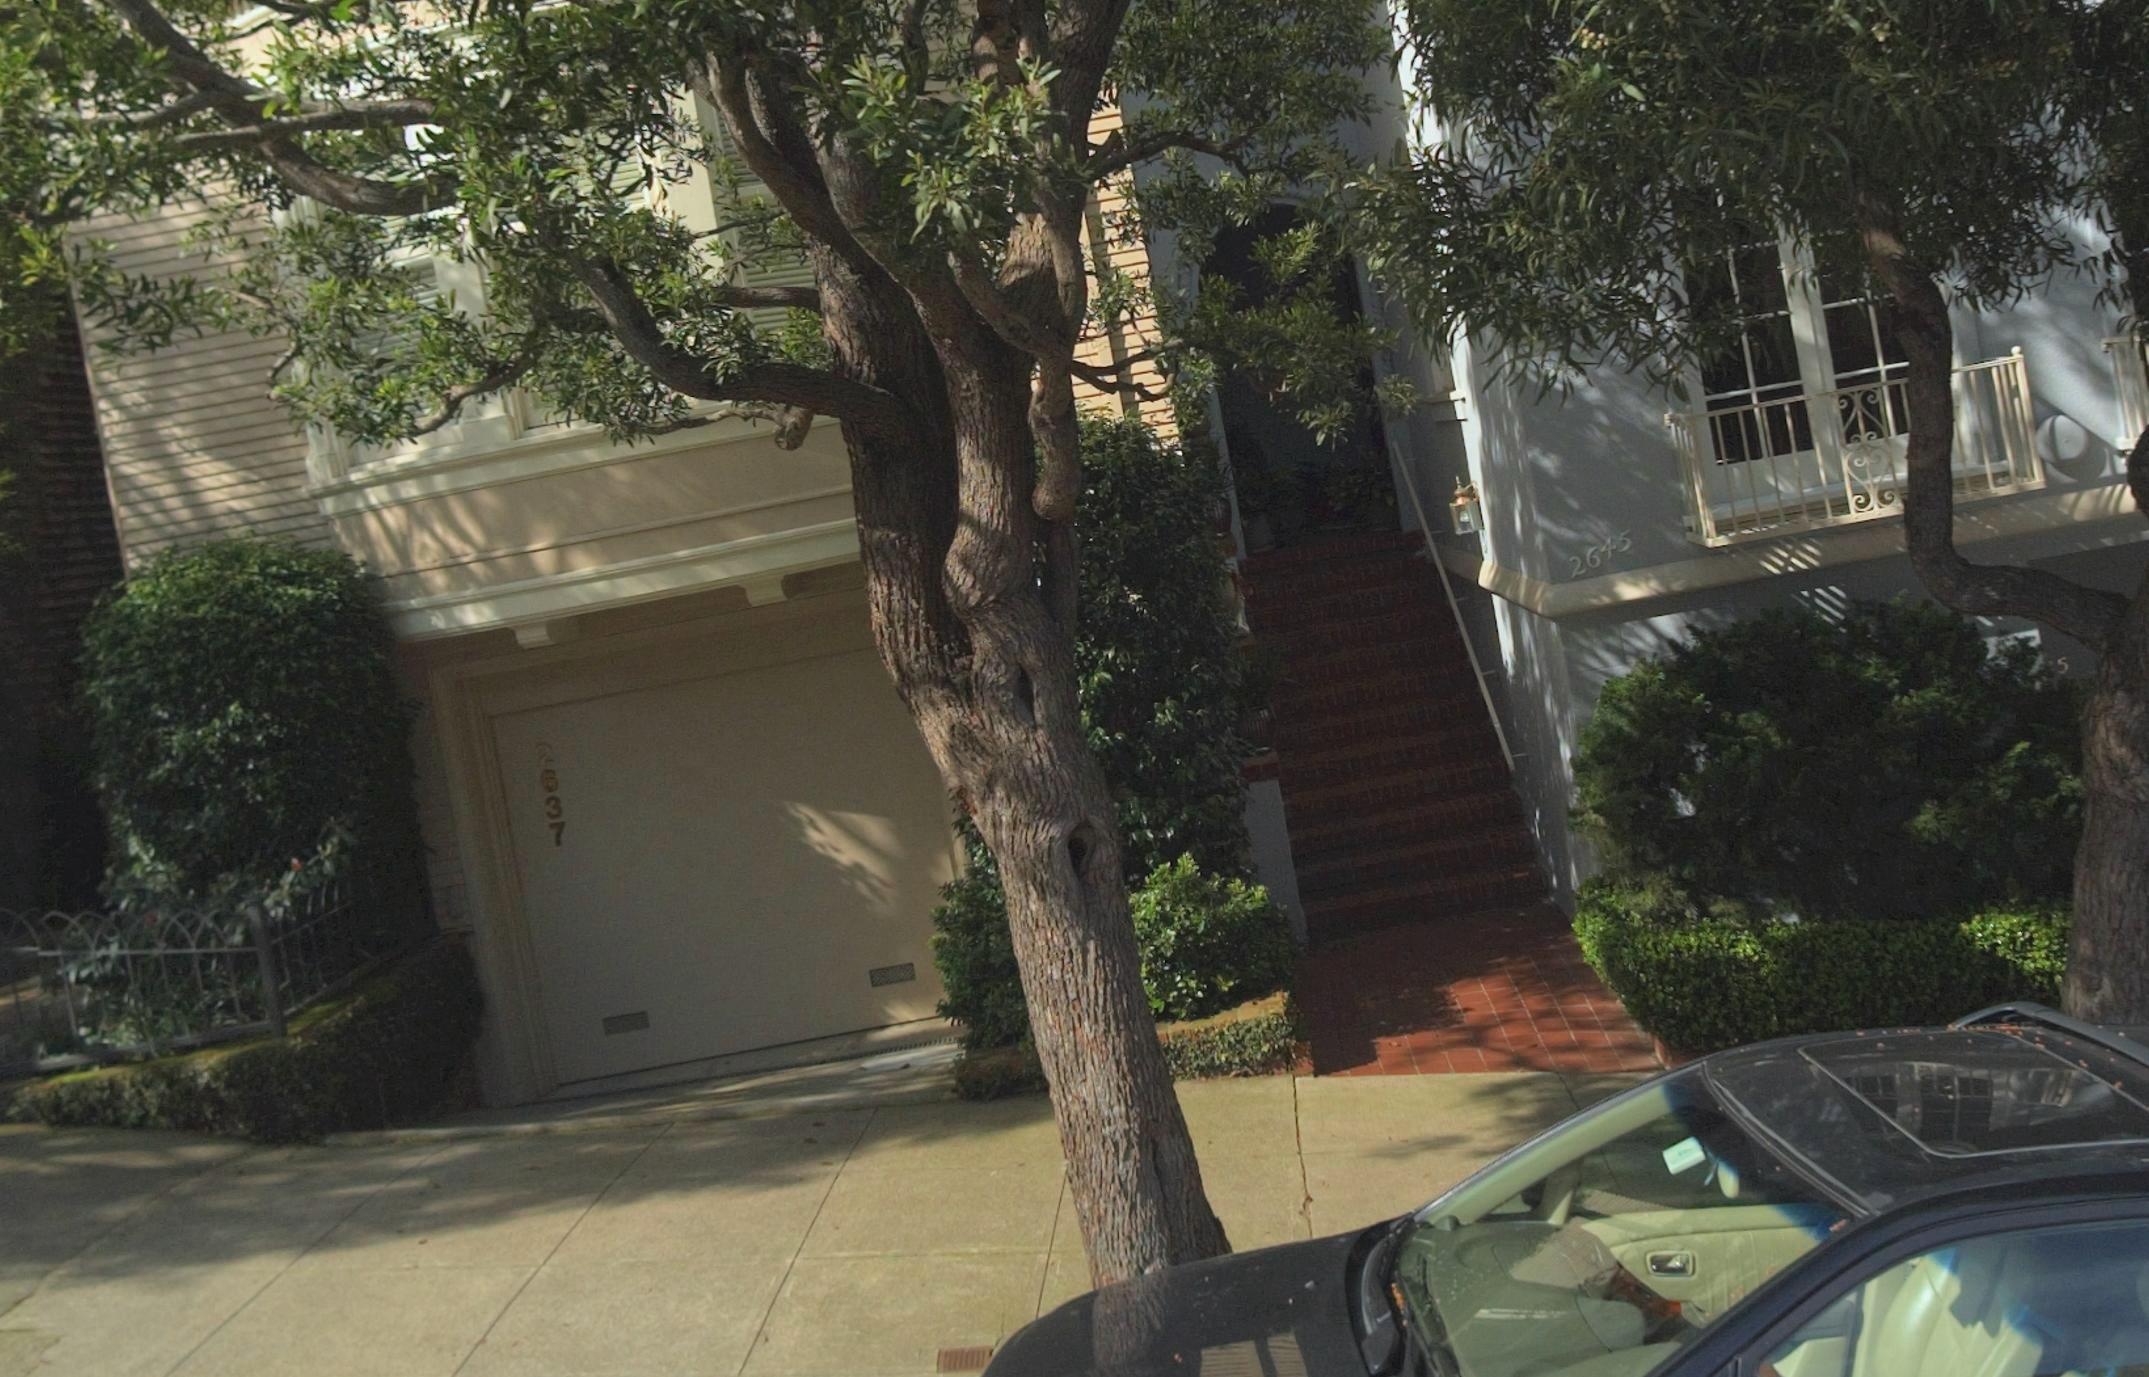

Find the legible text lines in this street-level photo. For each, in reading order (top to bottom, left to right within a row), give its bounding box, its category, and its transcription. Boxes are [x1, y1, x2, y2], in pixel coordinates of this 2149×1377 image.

[1566, 525, 1635, 584] StreetNumber: 2645
[533, 742, 569, 850] StreetNumber: 2637